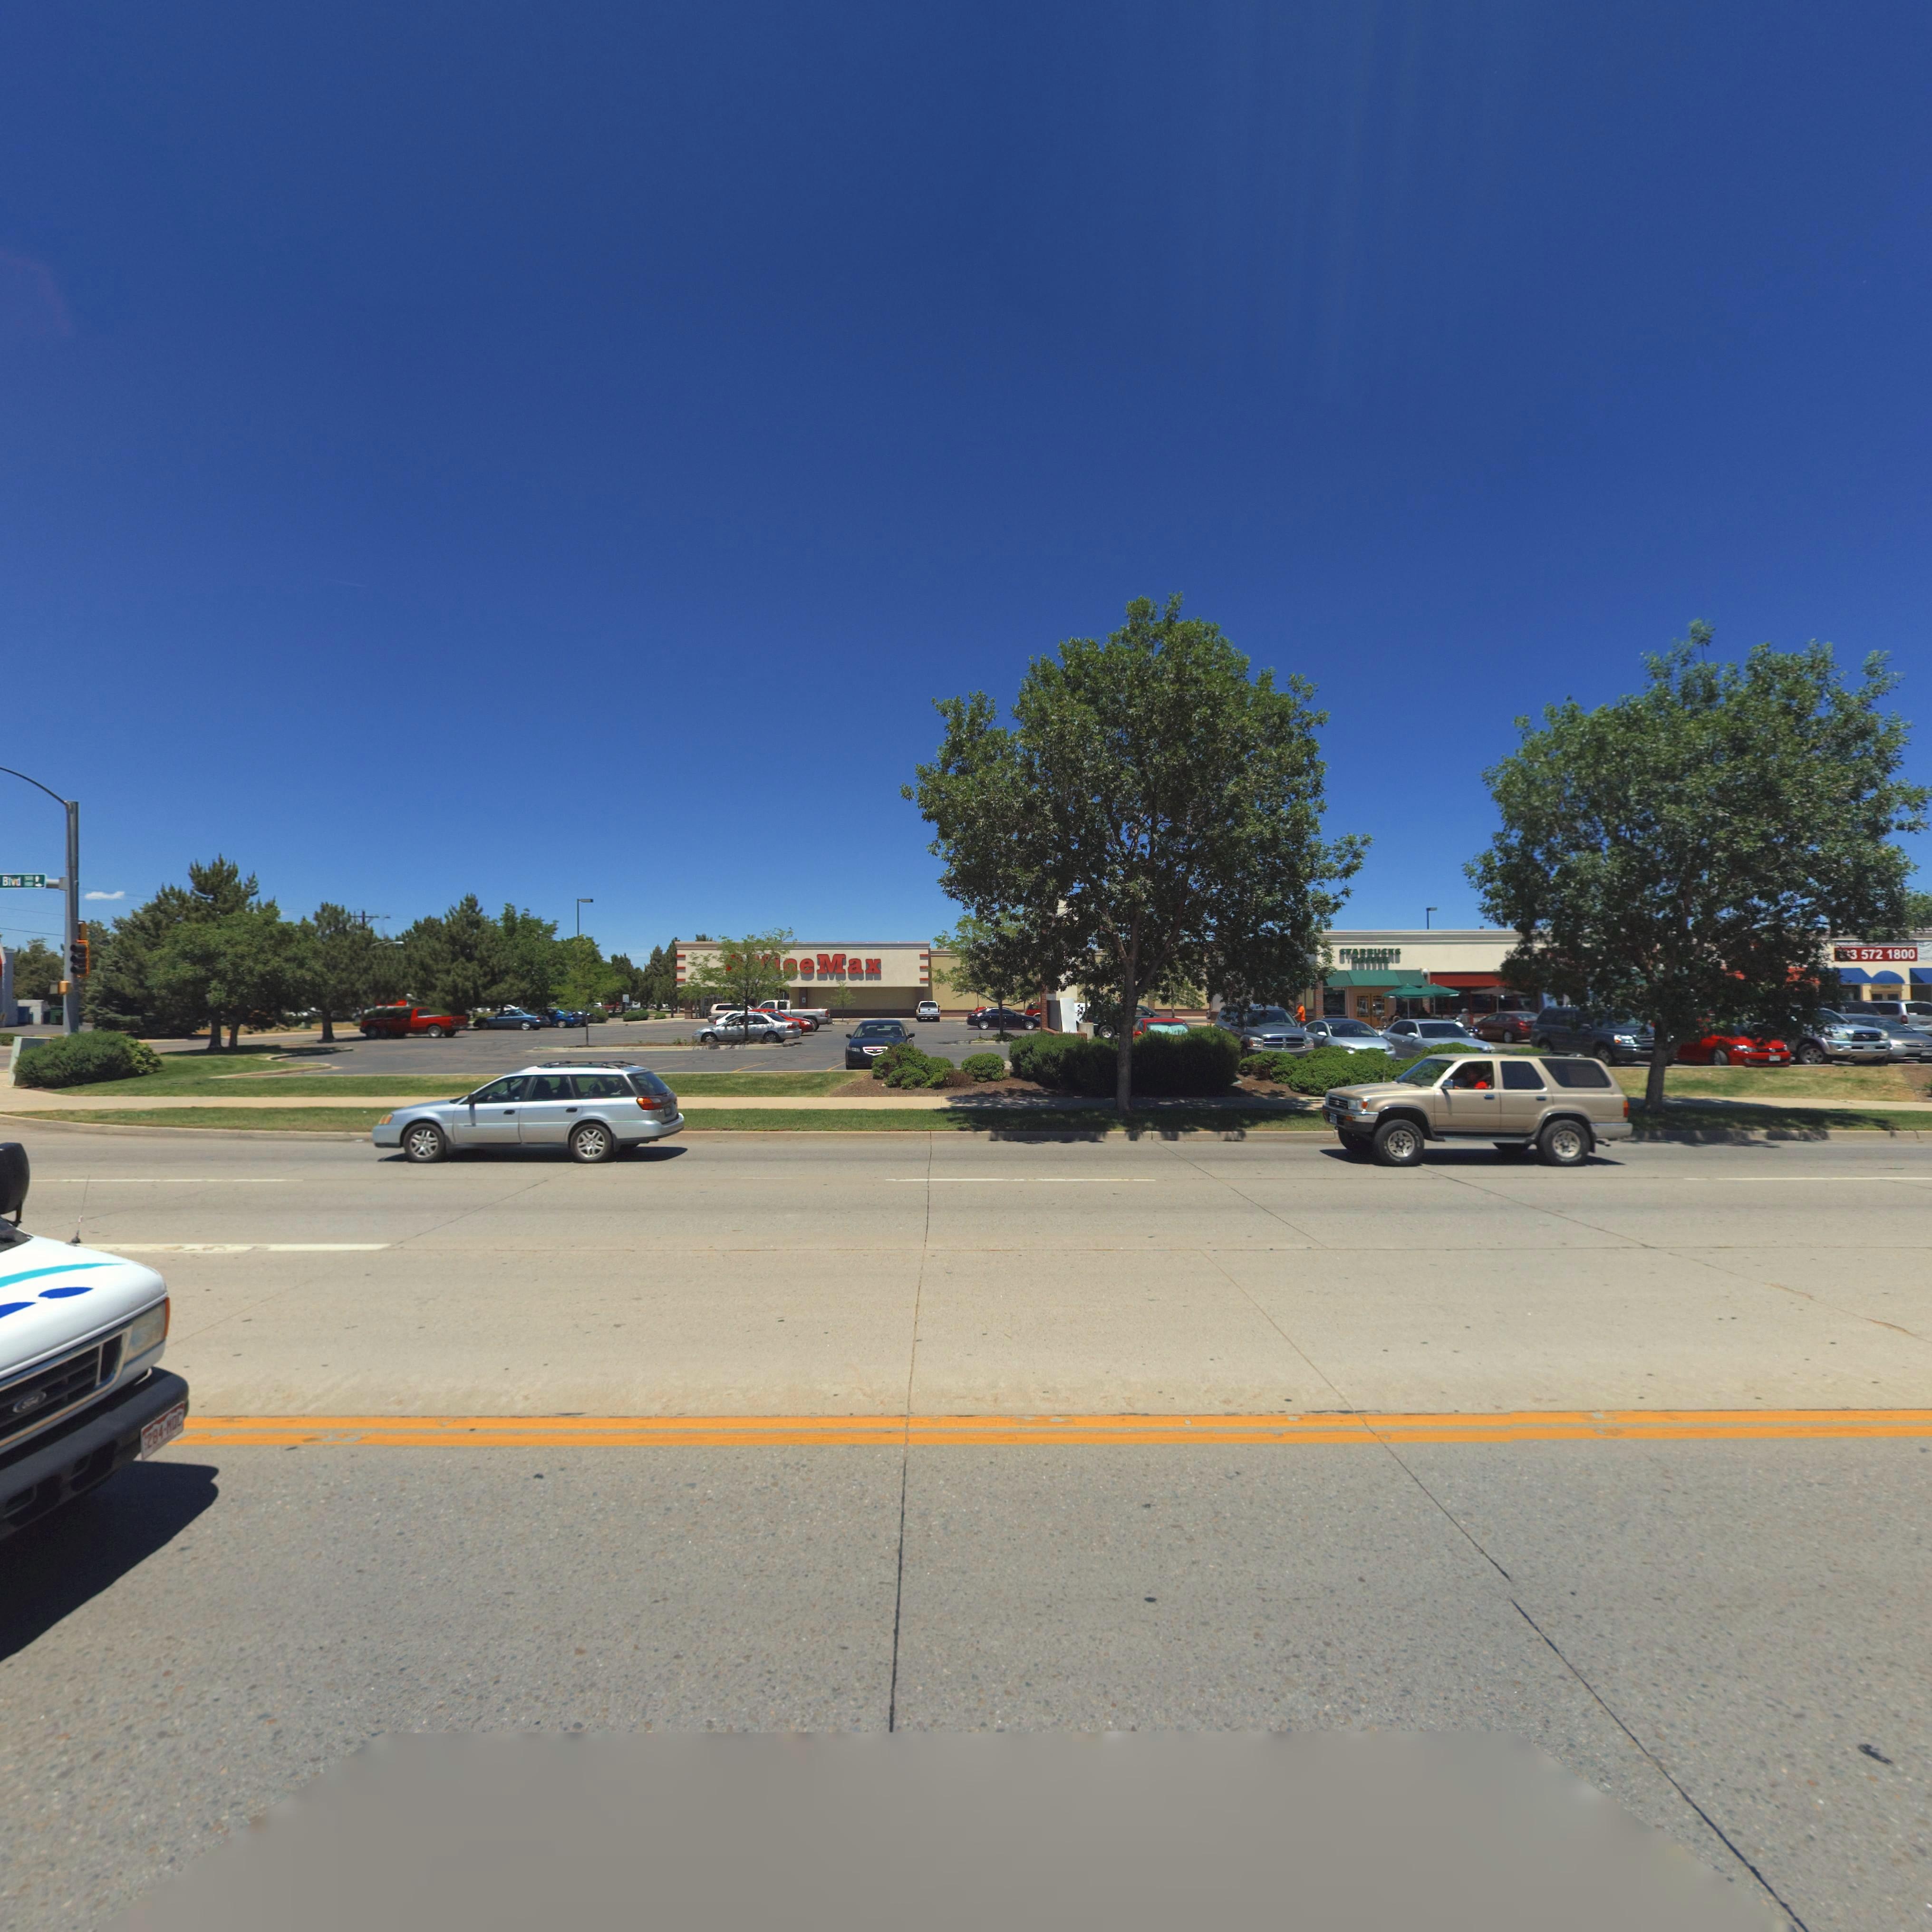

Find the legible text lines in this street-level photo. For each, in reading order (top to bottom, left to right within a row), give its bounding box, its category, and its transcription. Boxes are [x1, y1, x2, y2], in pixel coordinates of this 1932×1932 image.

[2, 876, 21, 886] StreetName: Blvd
[1340, 948, 1401, 956] BusinessName: STARBUCKS
[722, 953, 881, 976] BusinessName: *****eMax
[1352, 956, 1390, 964] BusinessName: COFFEE